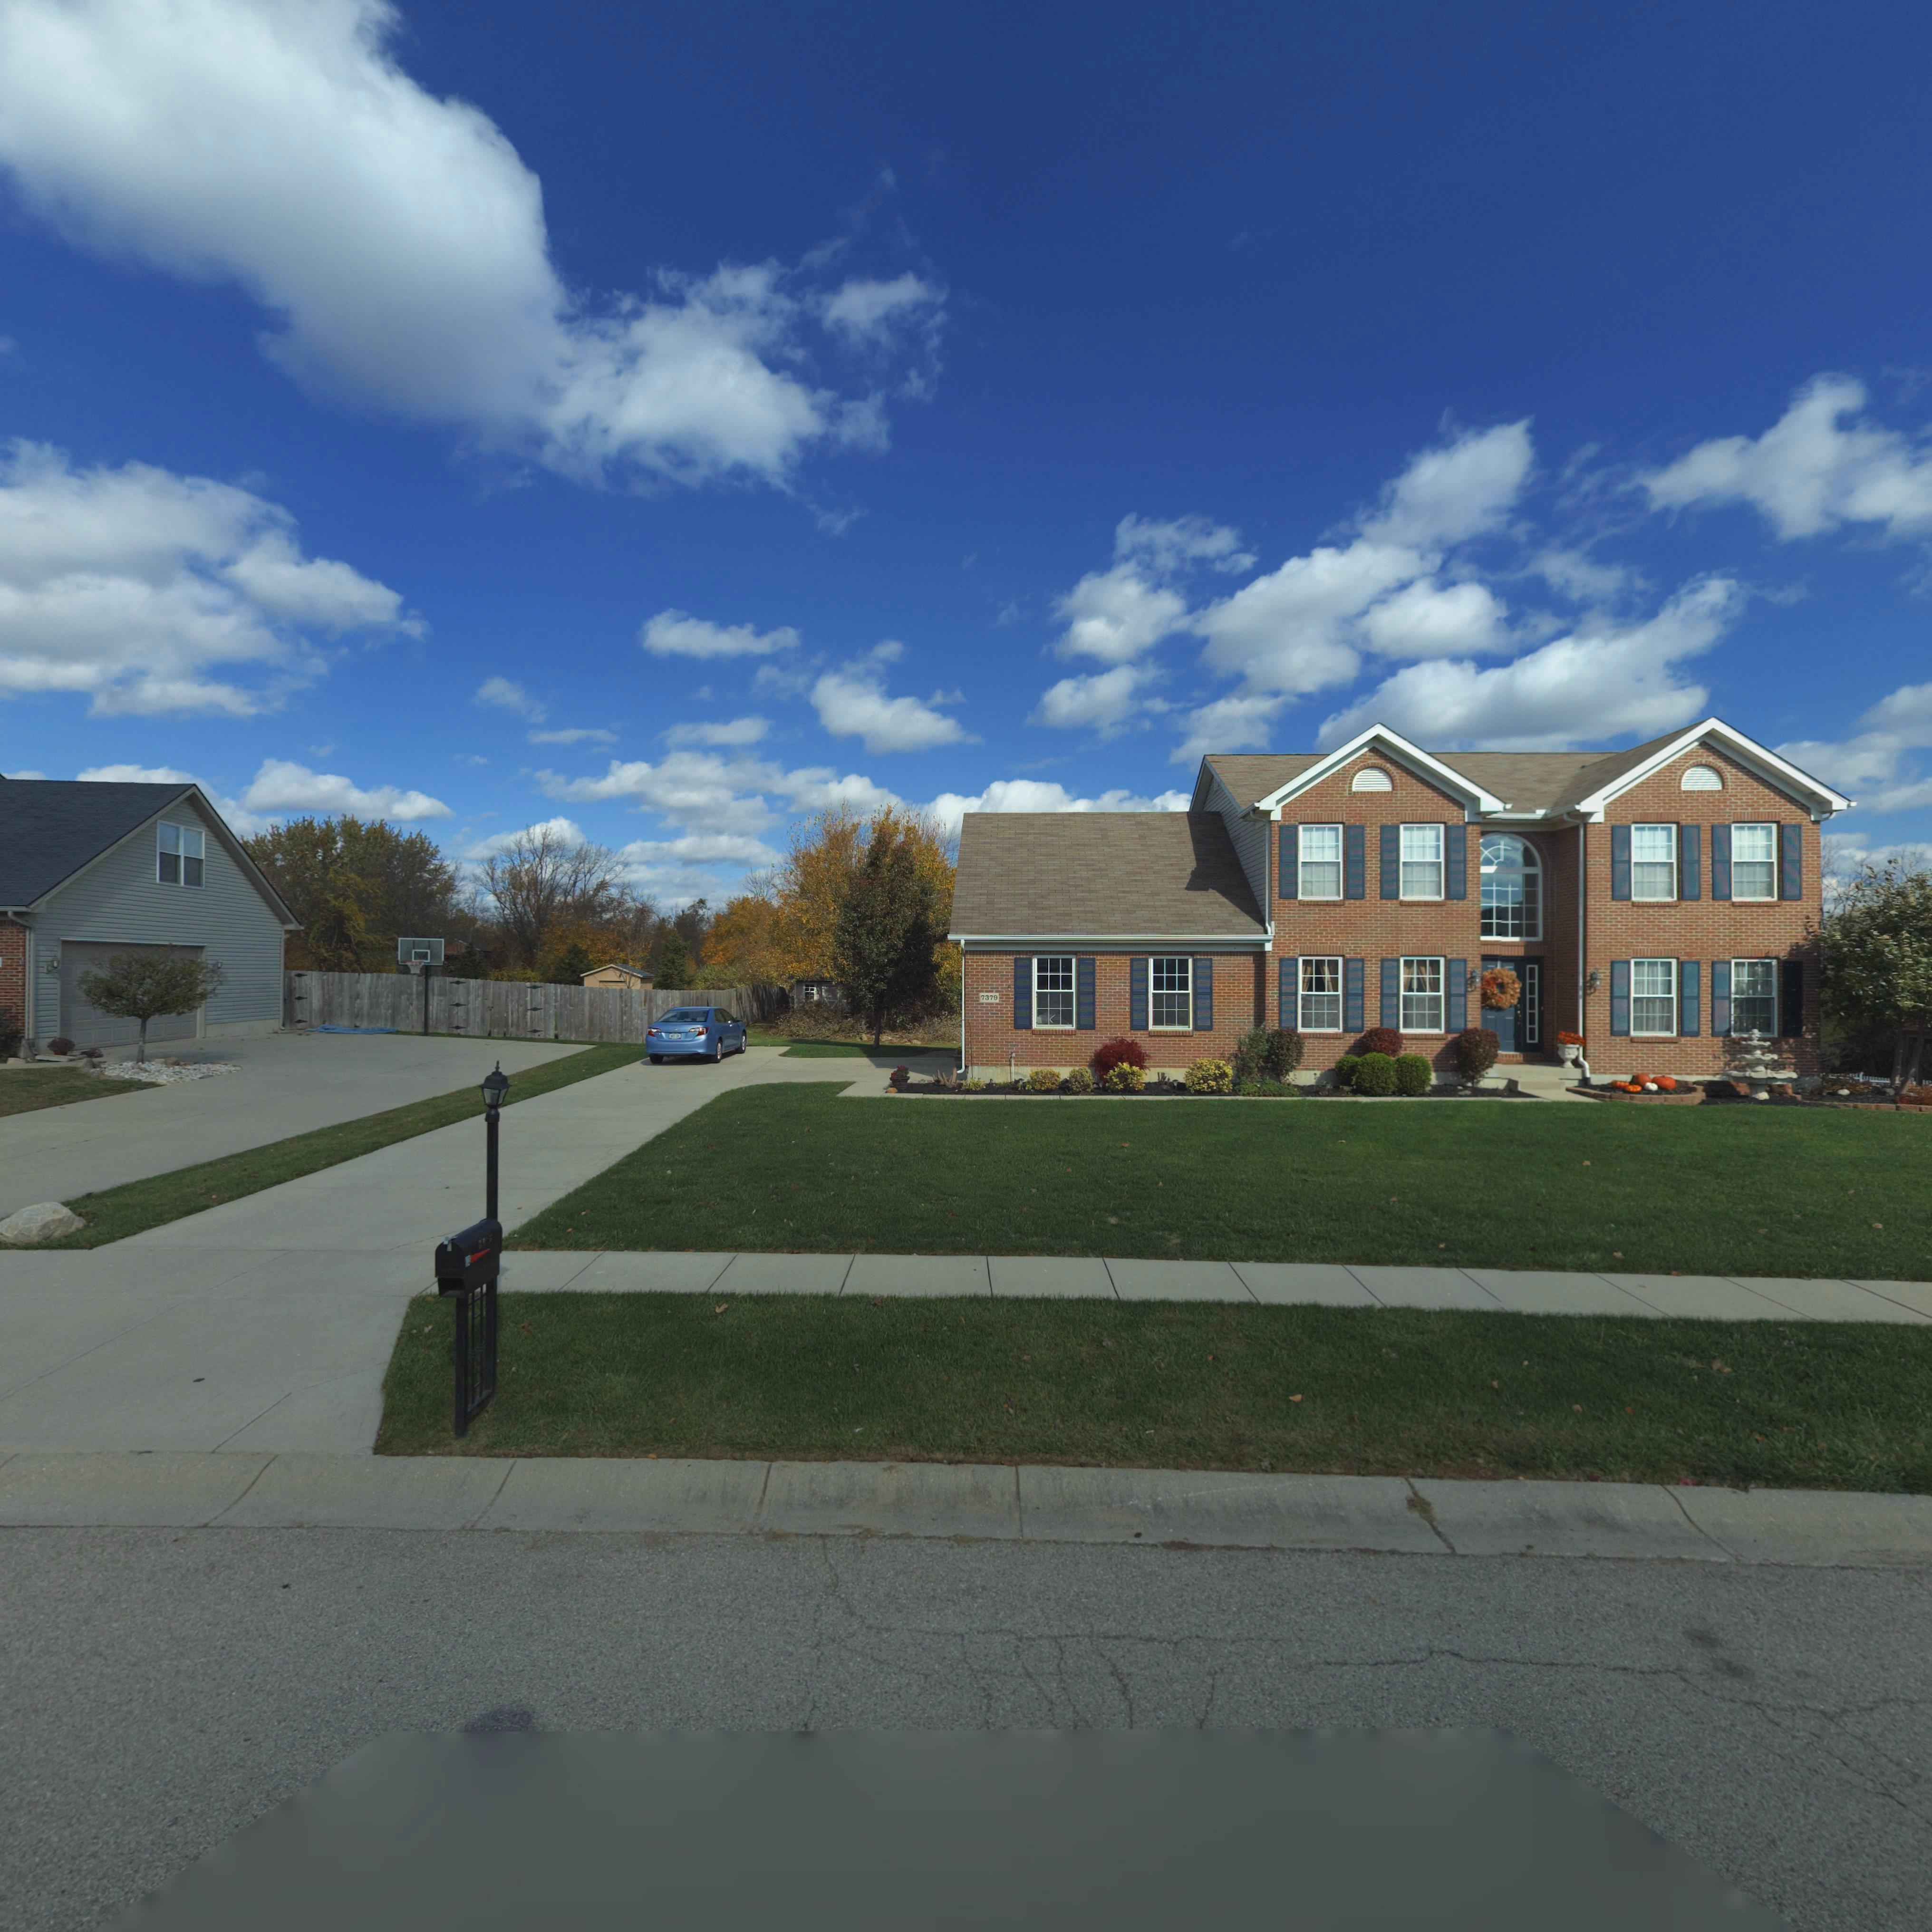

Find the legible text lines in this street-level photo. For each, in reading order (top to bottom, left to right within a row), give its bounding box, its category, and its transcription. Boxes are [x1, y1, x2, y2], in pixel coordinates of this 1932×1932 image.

[980, 995, 998, 1001] StreetNumber: 7379